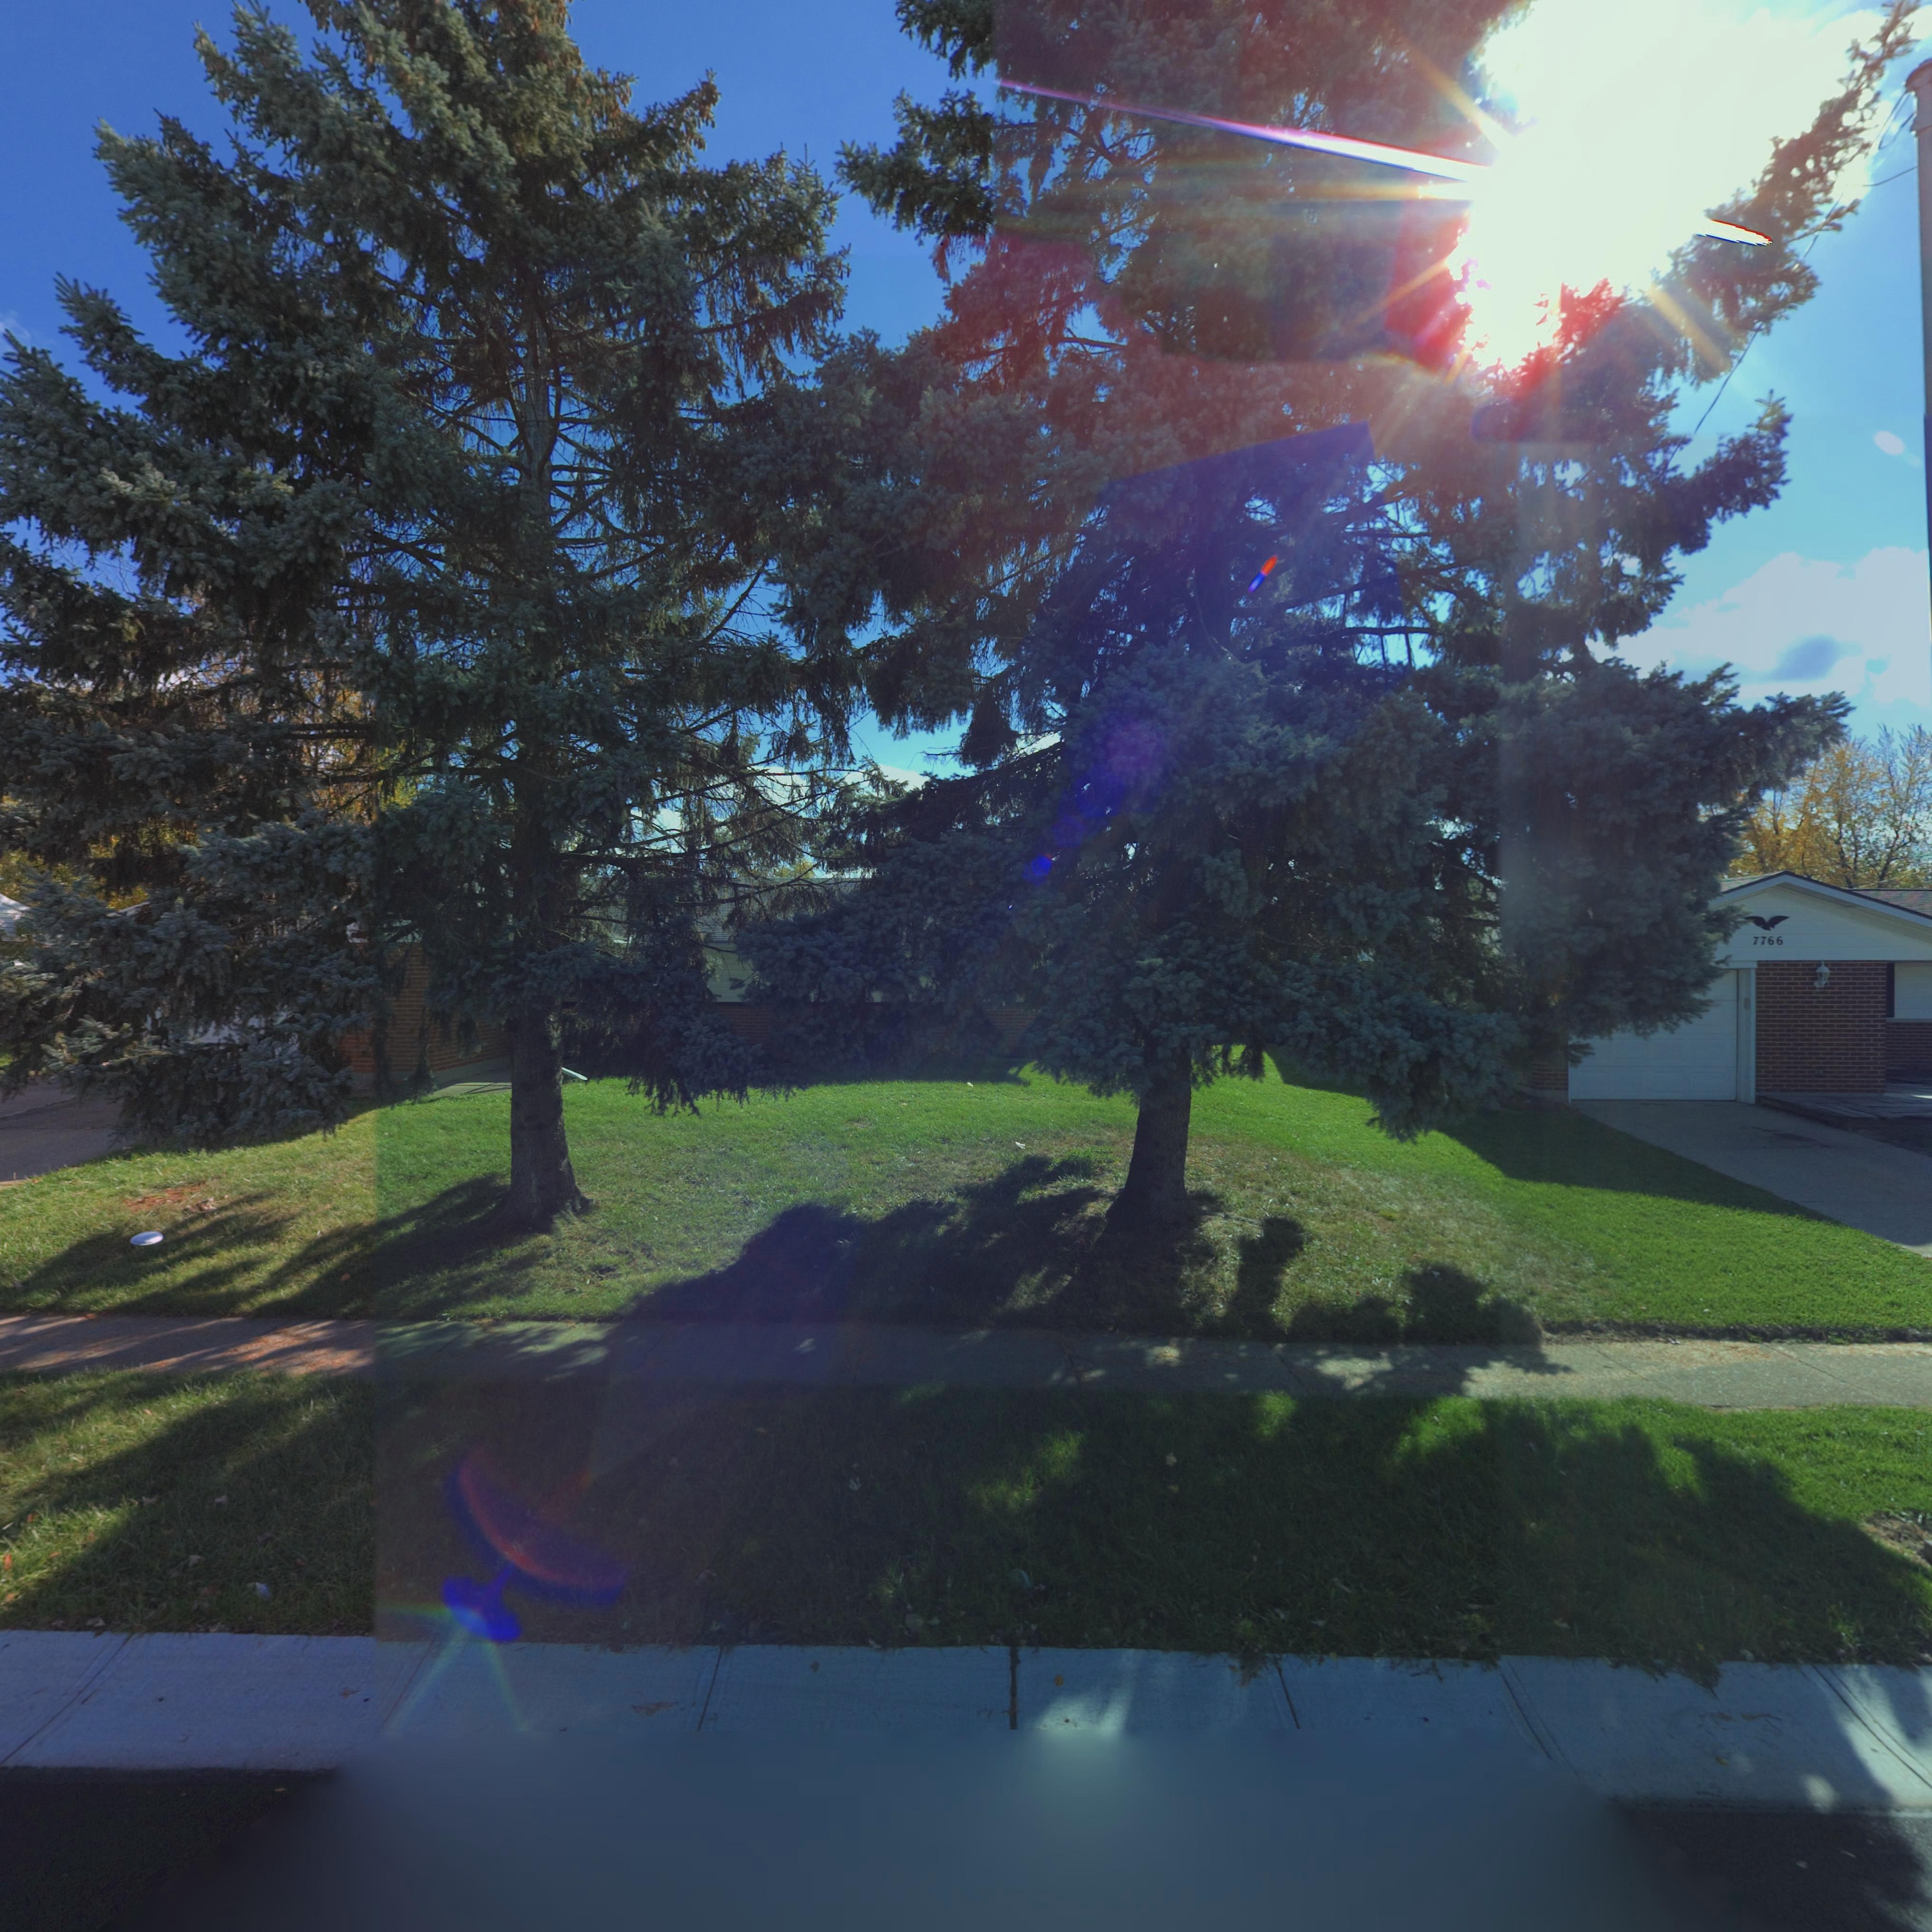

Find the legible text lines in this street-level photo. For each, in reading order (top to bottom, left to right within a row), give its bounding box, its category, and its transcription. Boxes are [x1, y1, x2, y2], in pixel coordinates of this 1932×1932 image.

[1753, 936, 1783, 946] StreetNumber: 7766